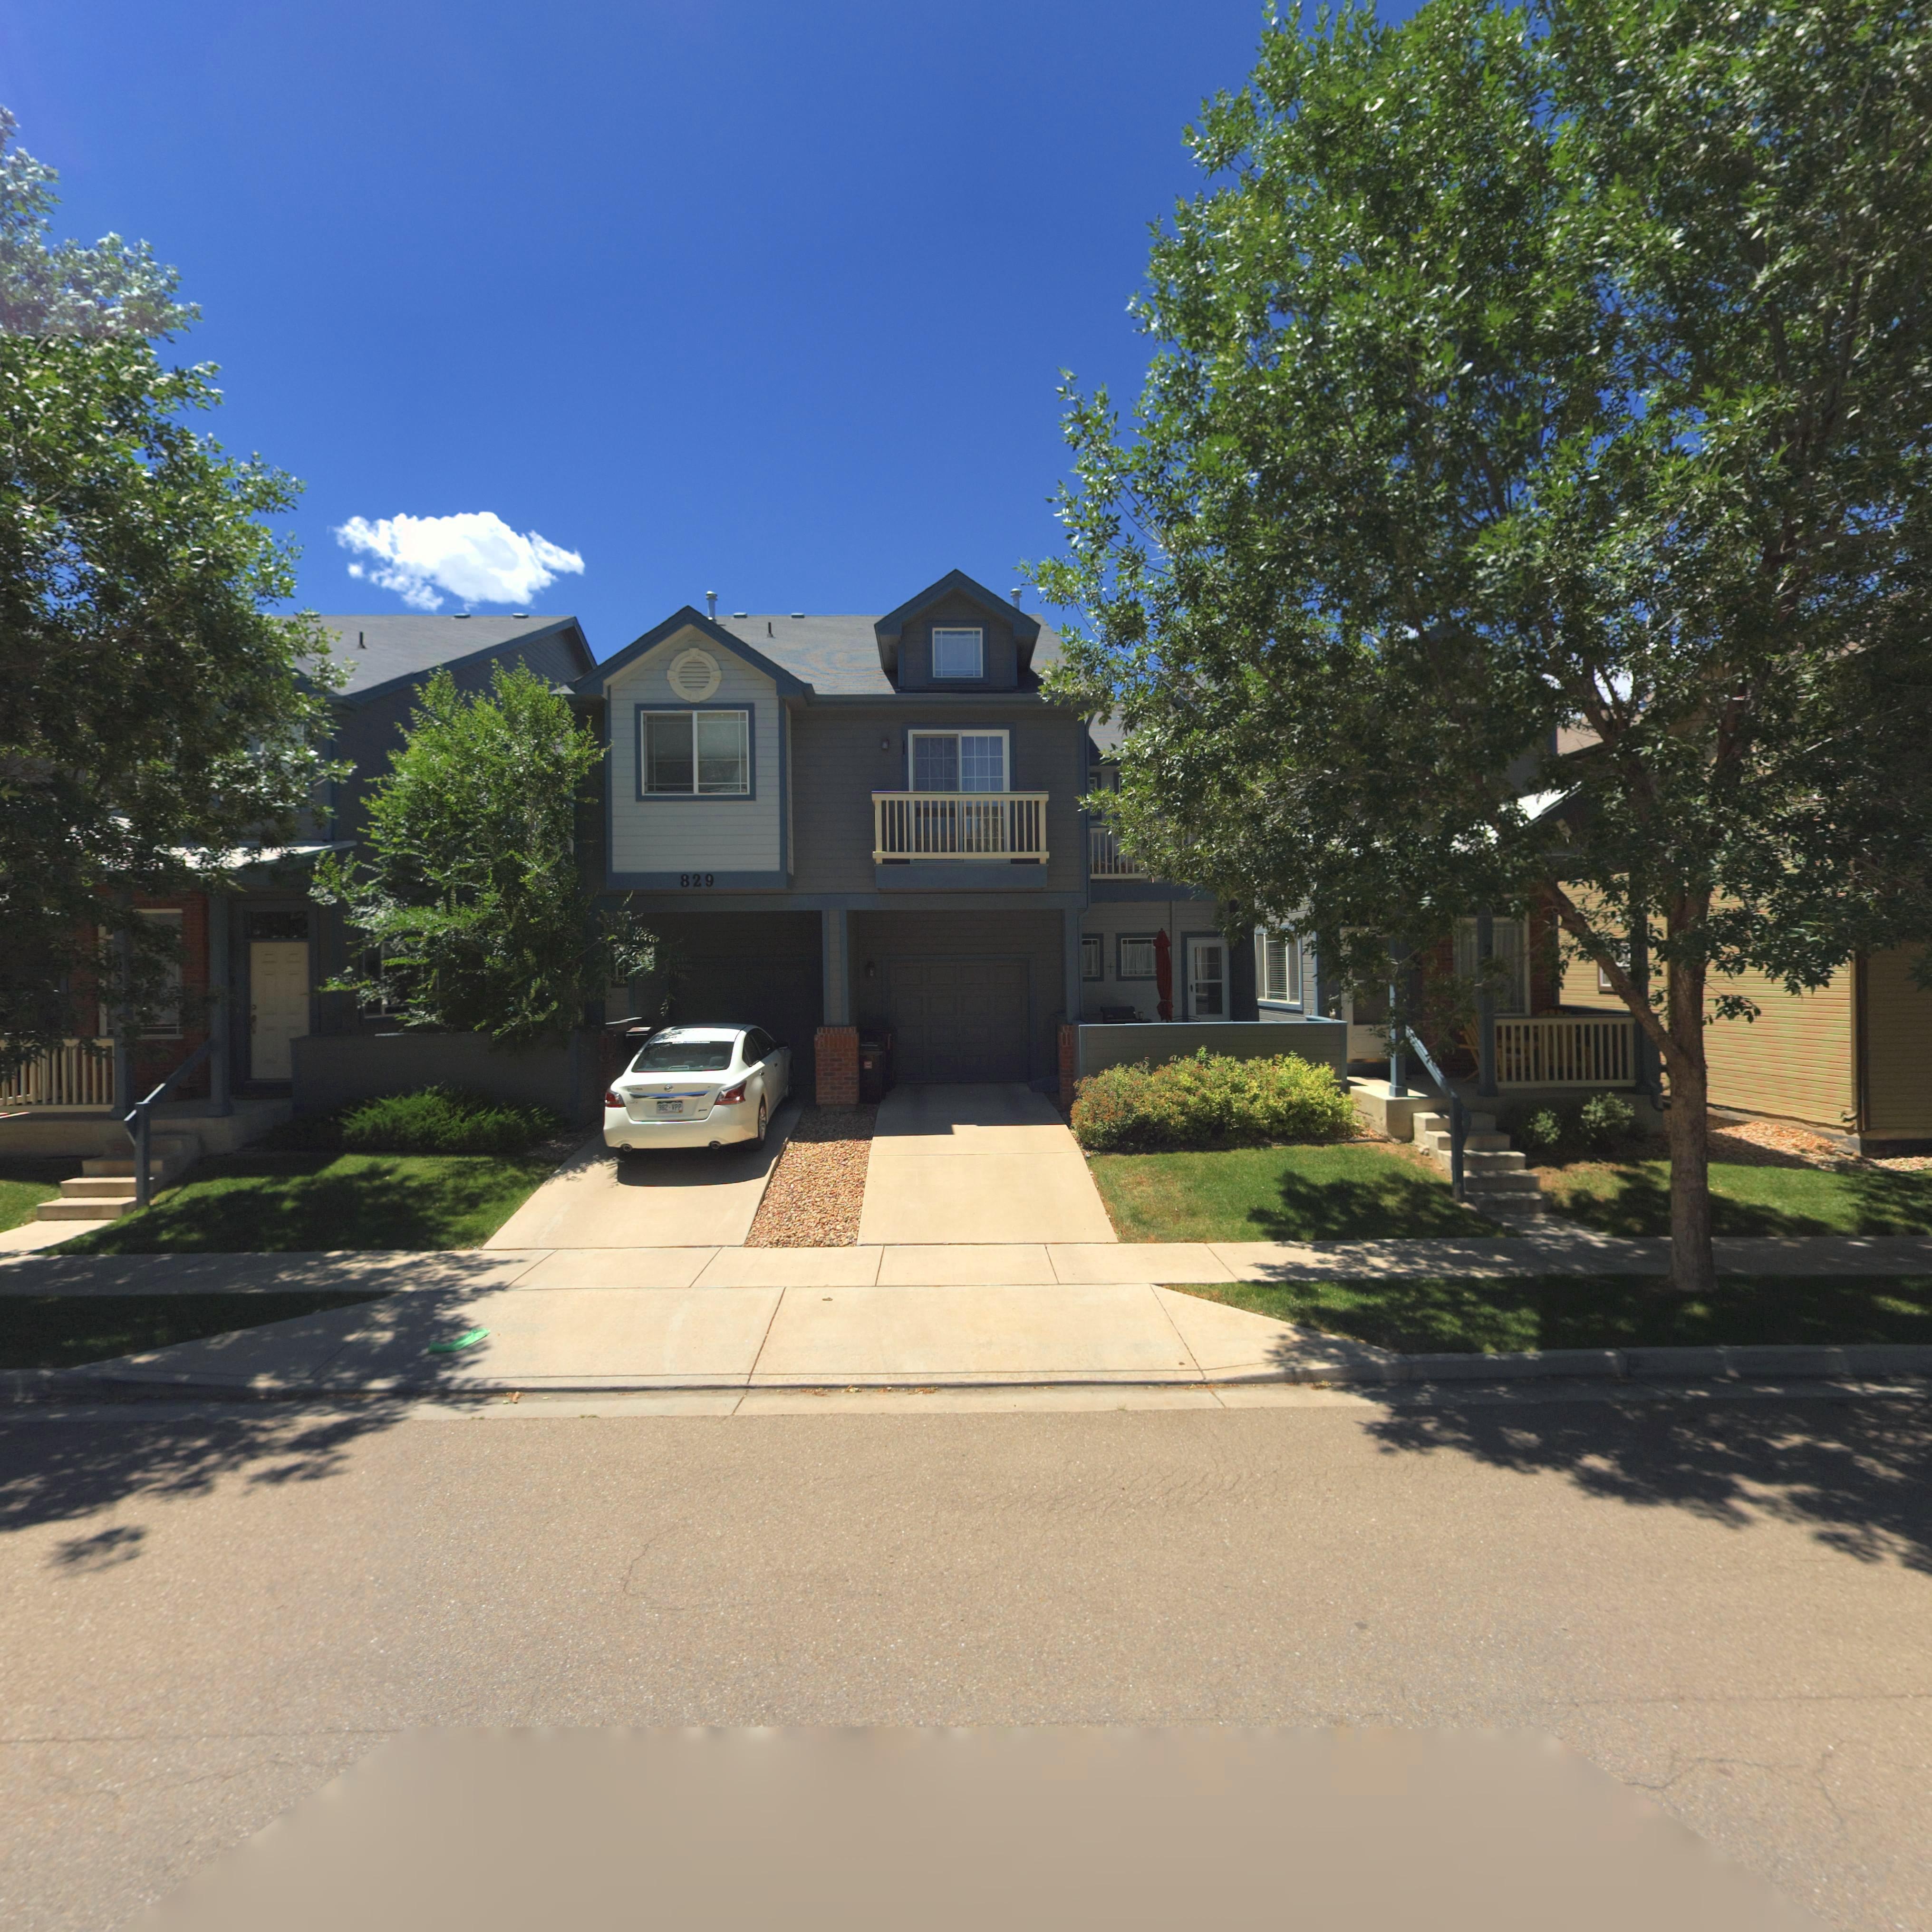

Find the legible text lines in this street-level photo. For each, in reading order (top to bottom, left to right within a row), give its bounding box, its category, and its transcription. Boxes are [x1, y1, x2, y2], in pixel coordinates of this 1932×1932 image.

[680, 873, 714, 887] StreetNumber: 829
[1484, 943, 1492, 956] StreetNumber: 2
[113, 960, 123, 986] StreetNumber: 23